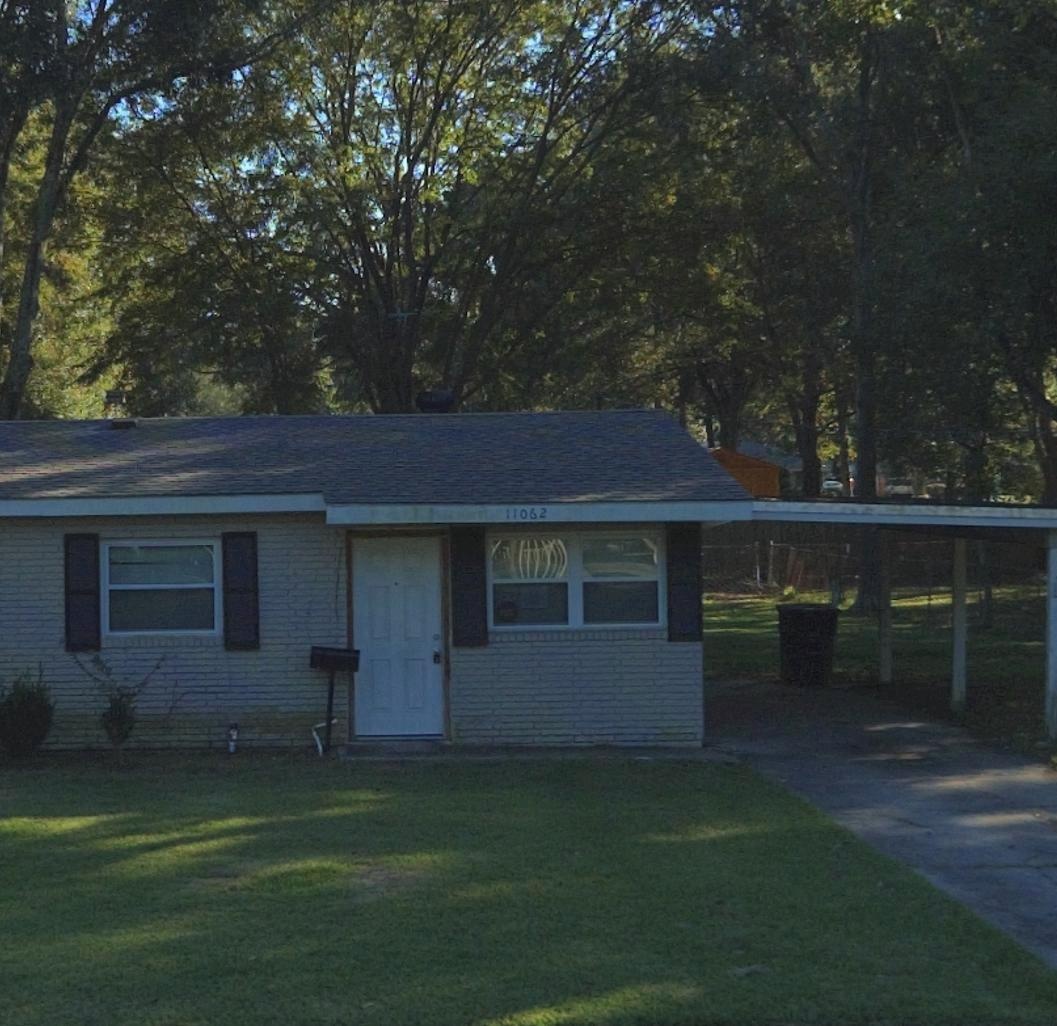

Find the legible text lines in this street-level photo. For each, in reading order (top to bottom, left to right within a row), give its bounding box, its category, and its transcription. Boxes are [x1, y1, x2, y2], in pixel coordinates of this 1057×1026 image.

[504, 507, 548, 521] StreetNumber: 11062